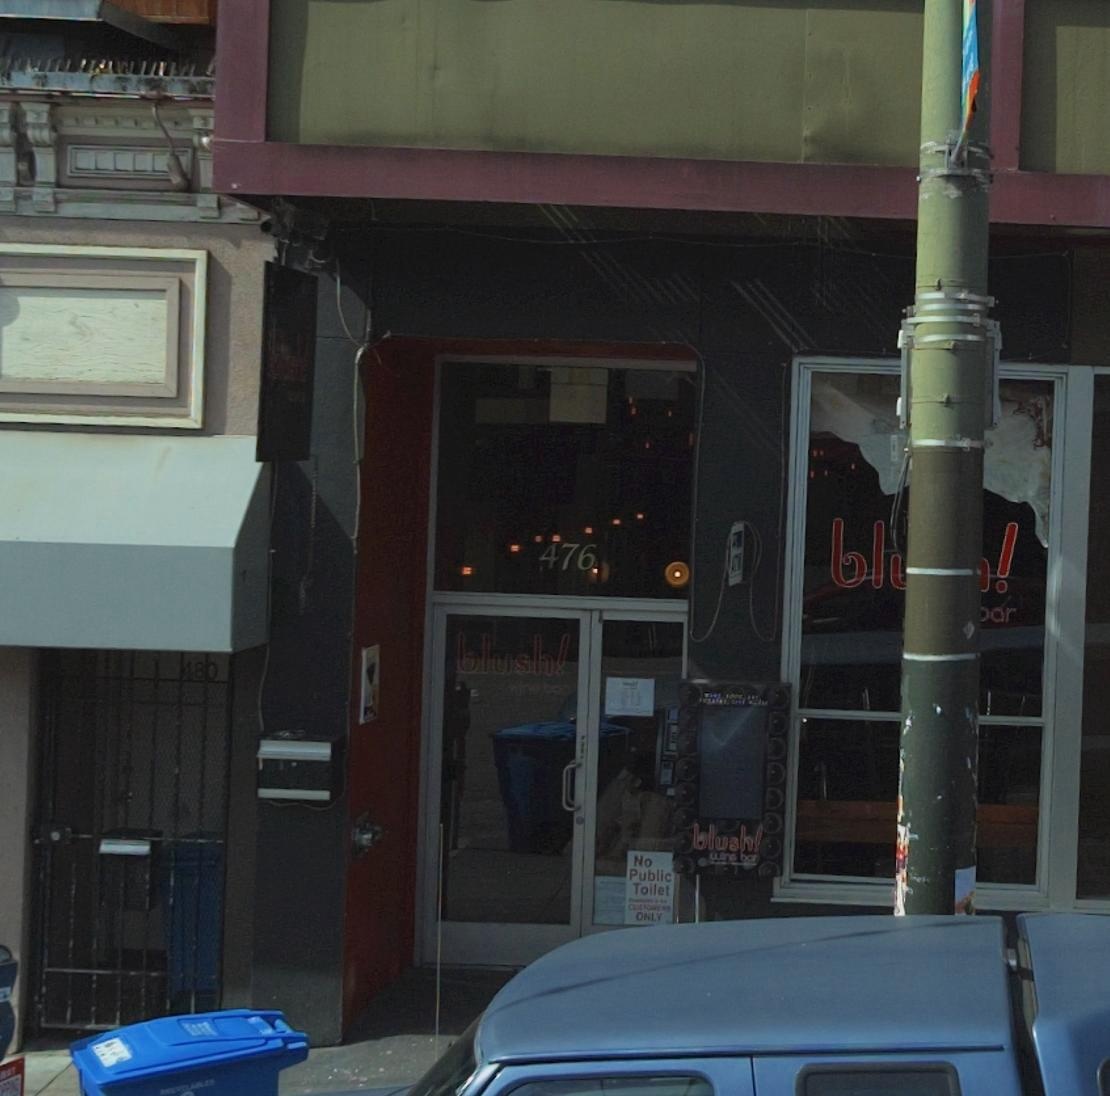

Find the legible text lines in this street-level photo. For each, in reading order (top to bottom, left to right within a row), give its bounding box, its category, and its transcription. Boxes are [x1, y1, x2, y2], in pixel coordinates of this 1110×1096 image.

[537, 540, 601, 574] StreetNumber: 476
[828, 514, 1021, 594] BusinessName: bl***!
[974, 601, 1019, 624] BusinessName: *ar
[454, 630, 571, 677] BusinessName: blush!
[178, 660, 219, 680] StreetNumber: 480
[505, 677, 572, 697] BusinessName: wine bar
[690, 819, 765, 853] BusinessName: blush!
[632, 854, 653, 868] None: No
[706, 851, 759, 863] BusinessName: wine bar
[628, 868, 673, 883] None: Public
[631, 882, 671, 896] None: Toilet
[634, 911, 663, 922] None: ONLY